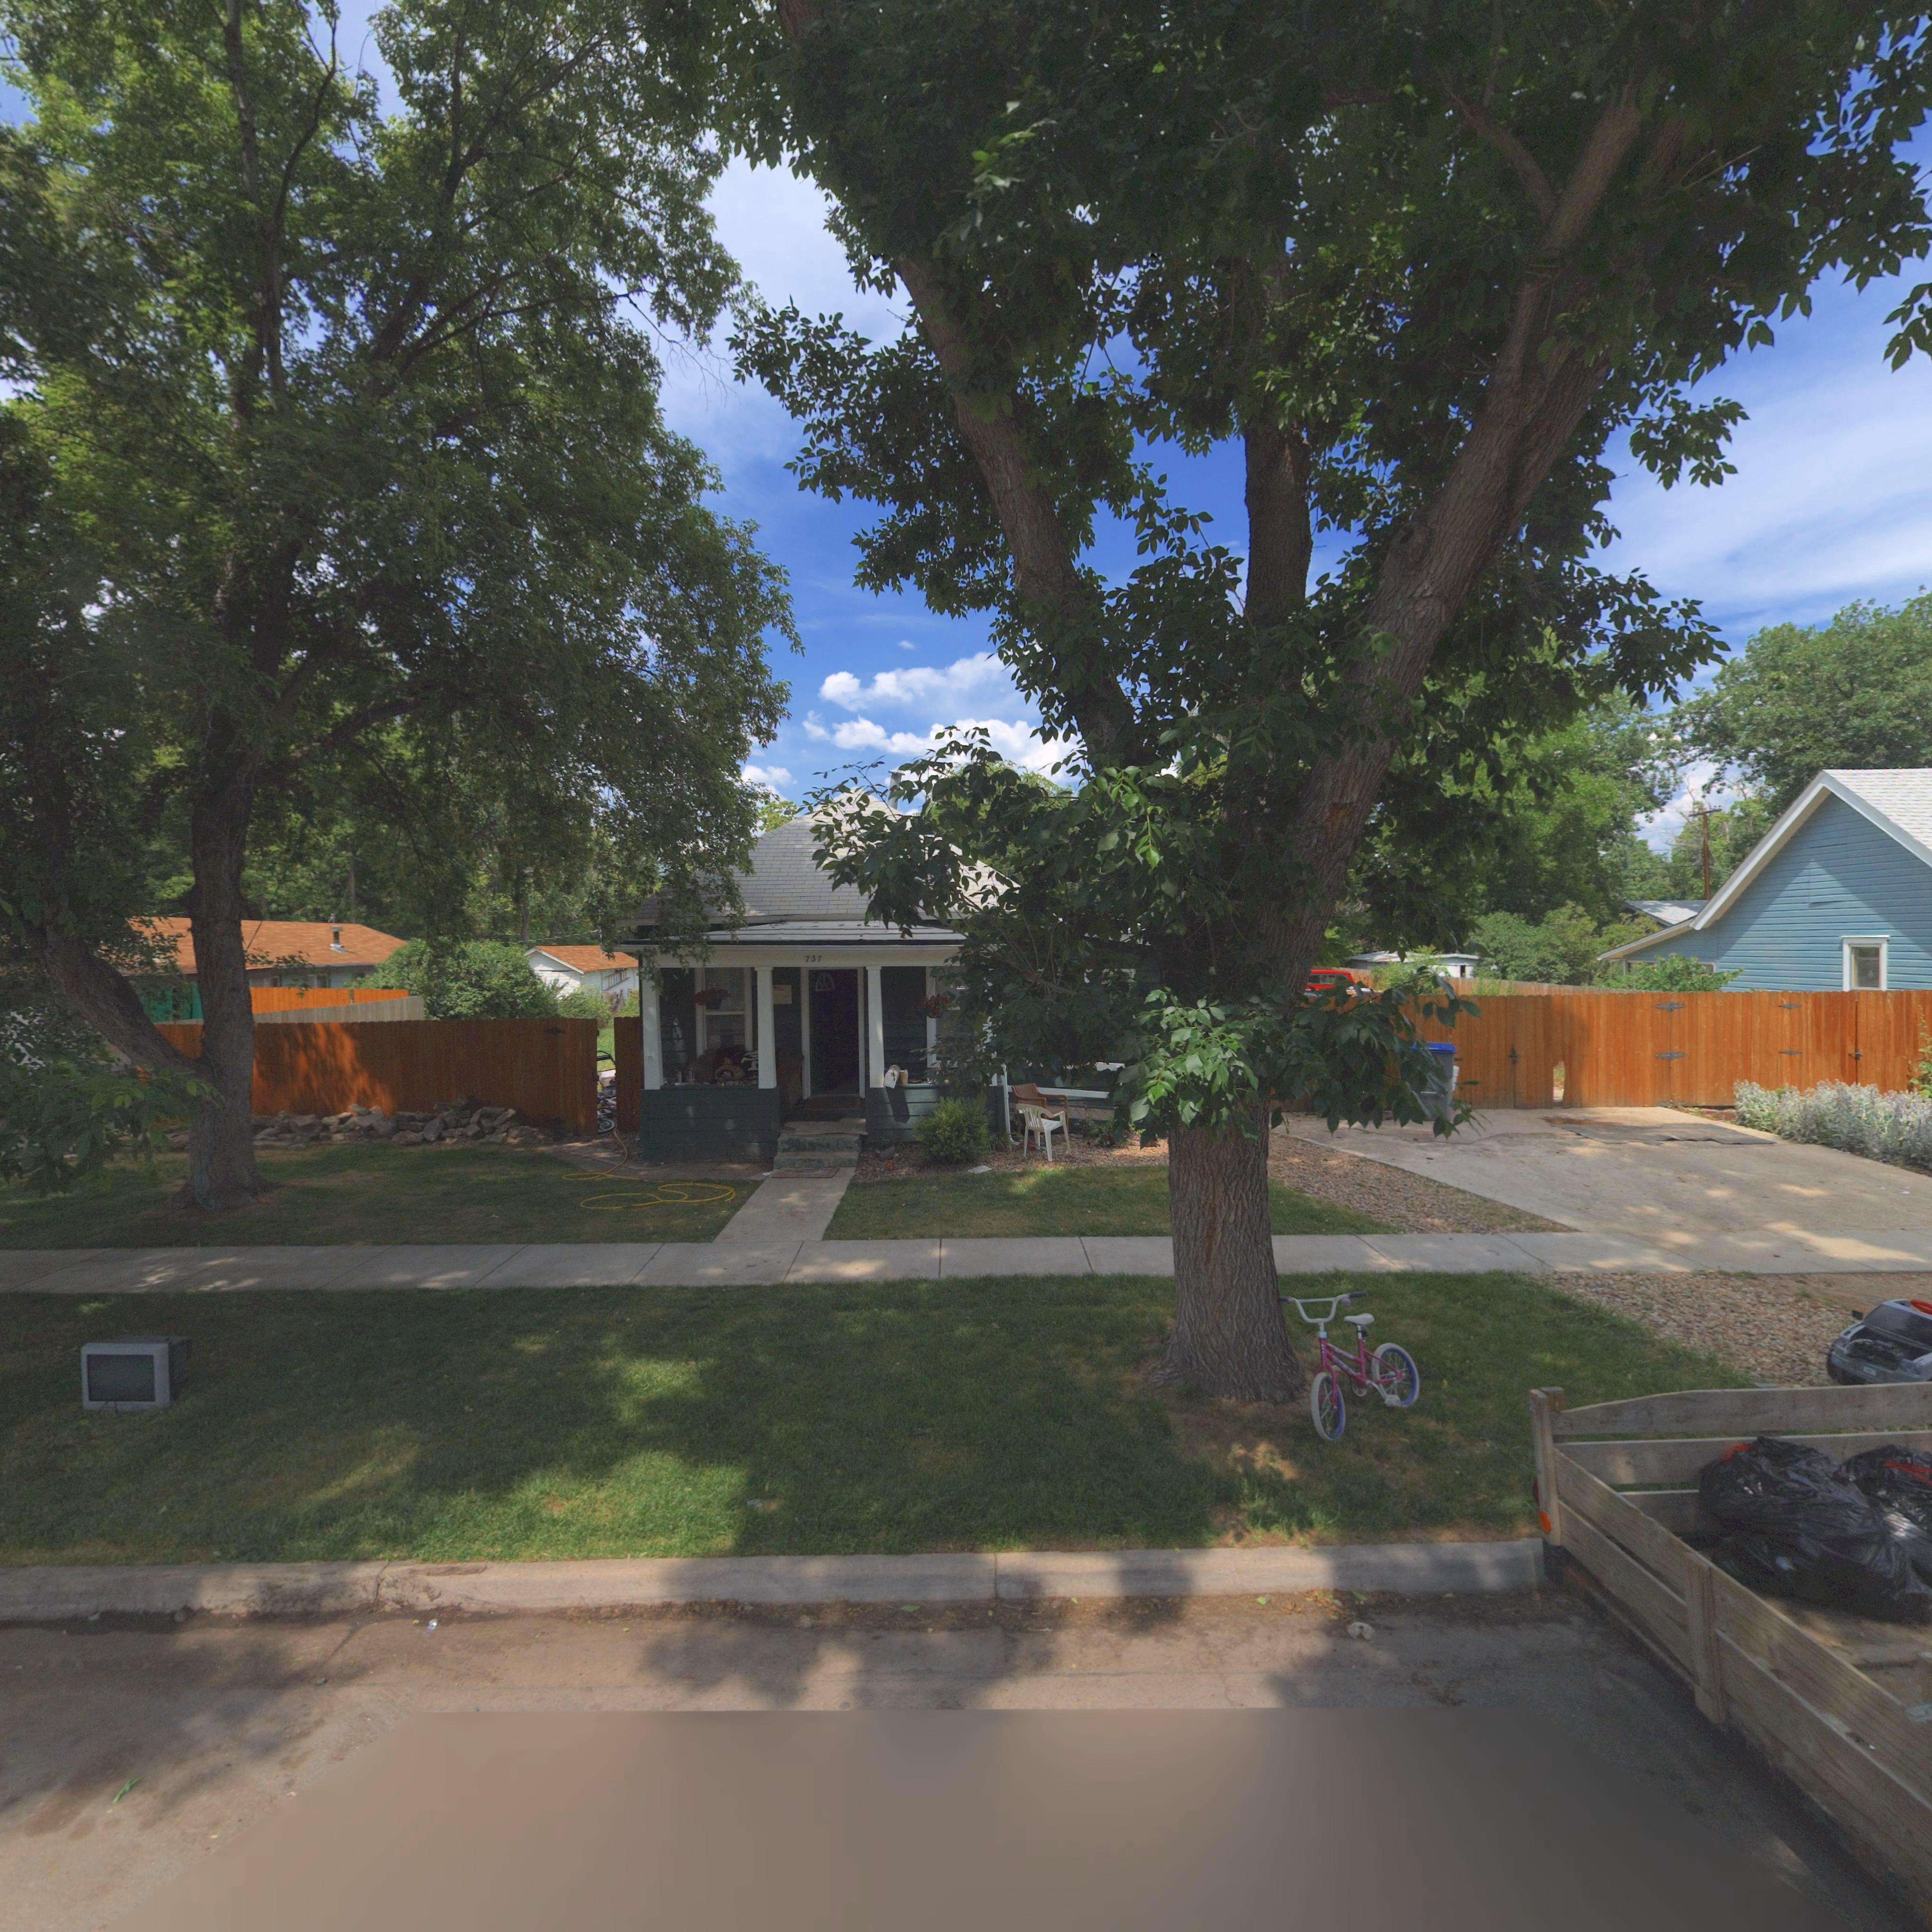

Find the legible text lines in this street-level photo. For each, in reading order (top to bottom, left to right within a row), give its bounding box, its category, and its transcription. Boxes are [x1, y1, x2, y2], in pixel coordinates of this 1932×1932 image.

[804, 955, 822, 962] StreetNumber: 737